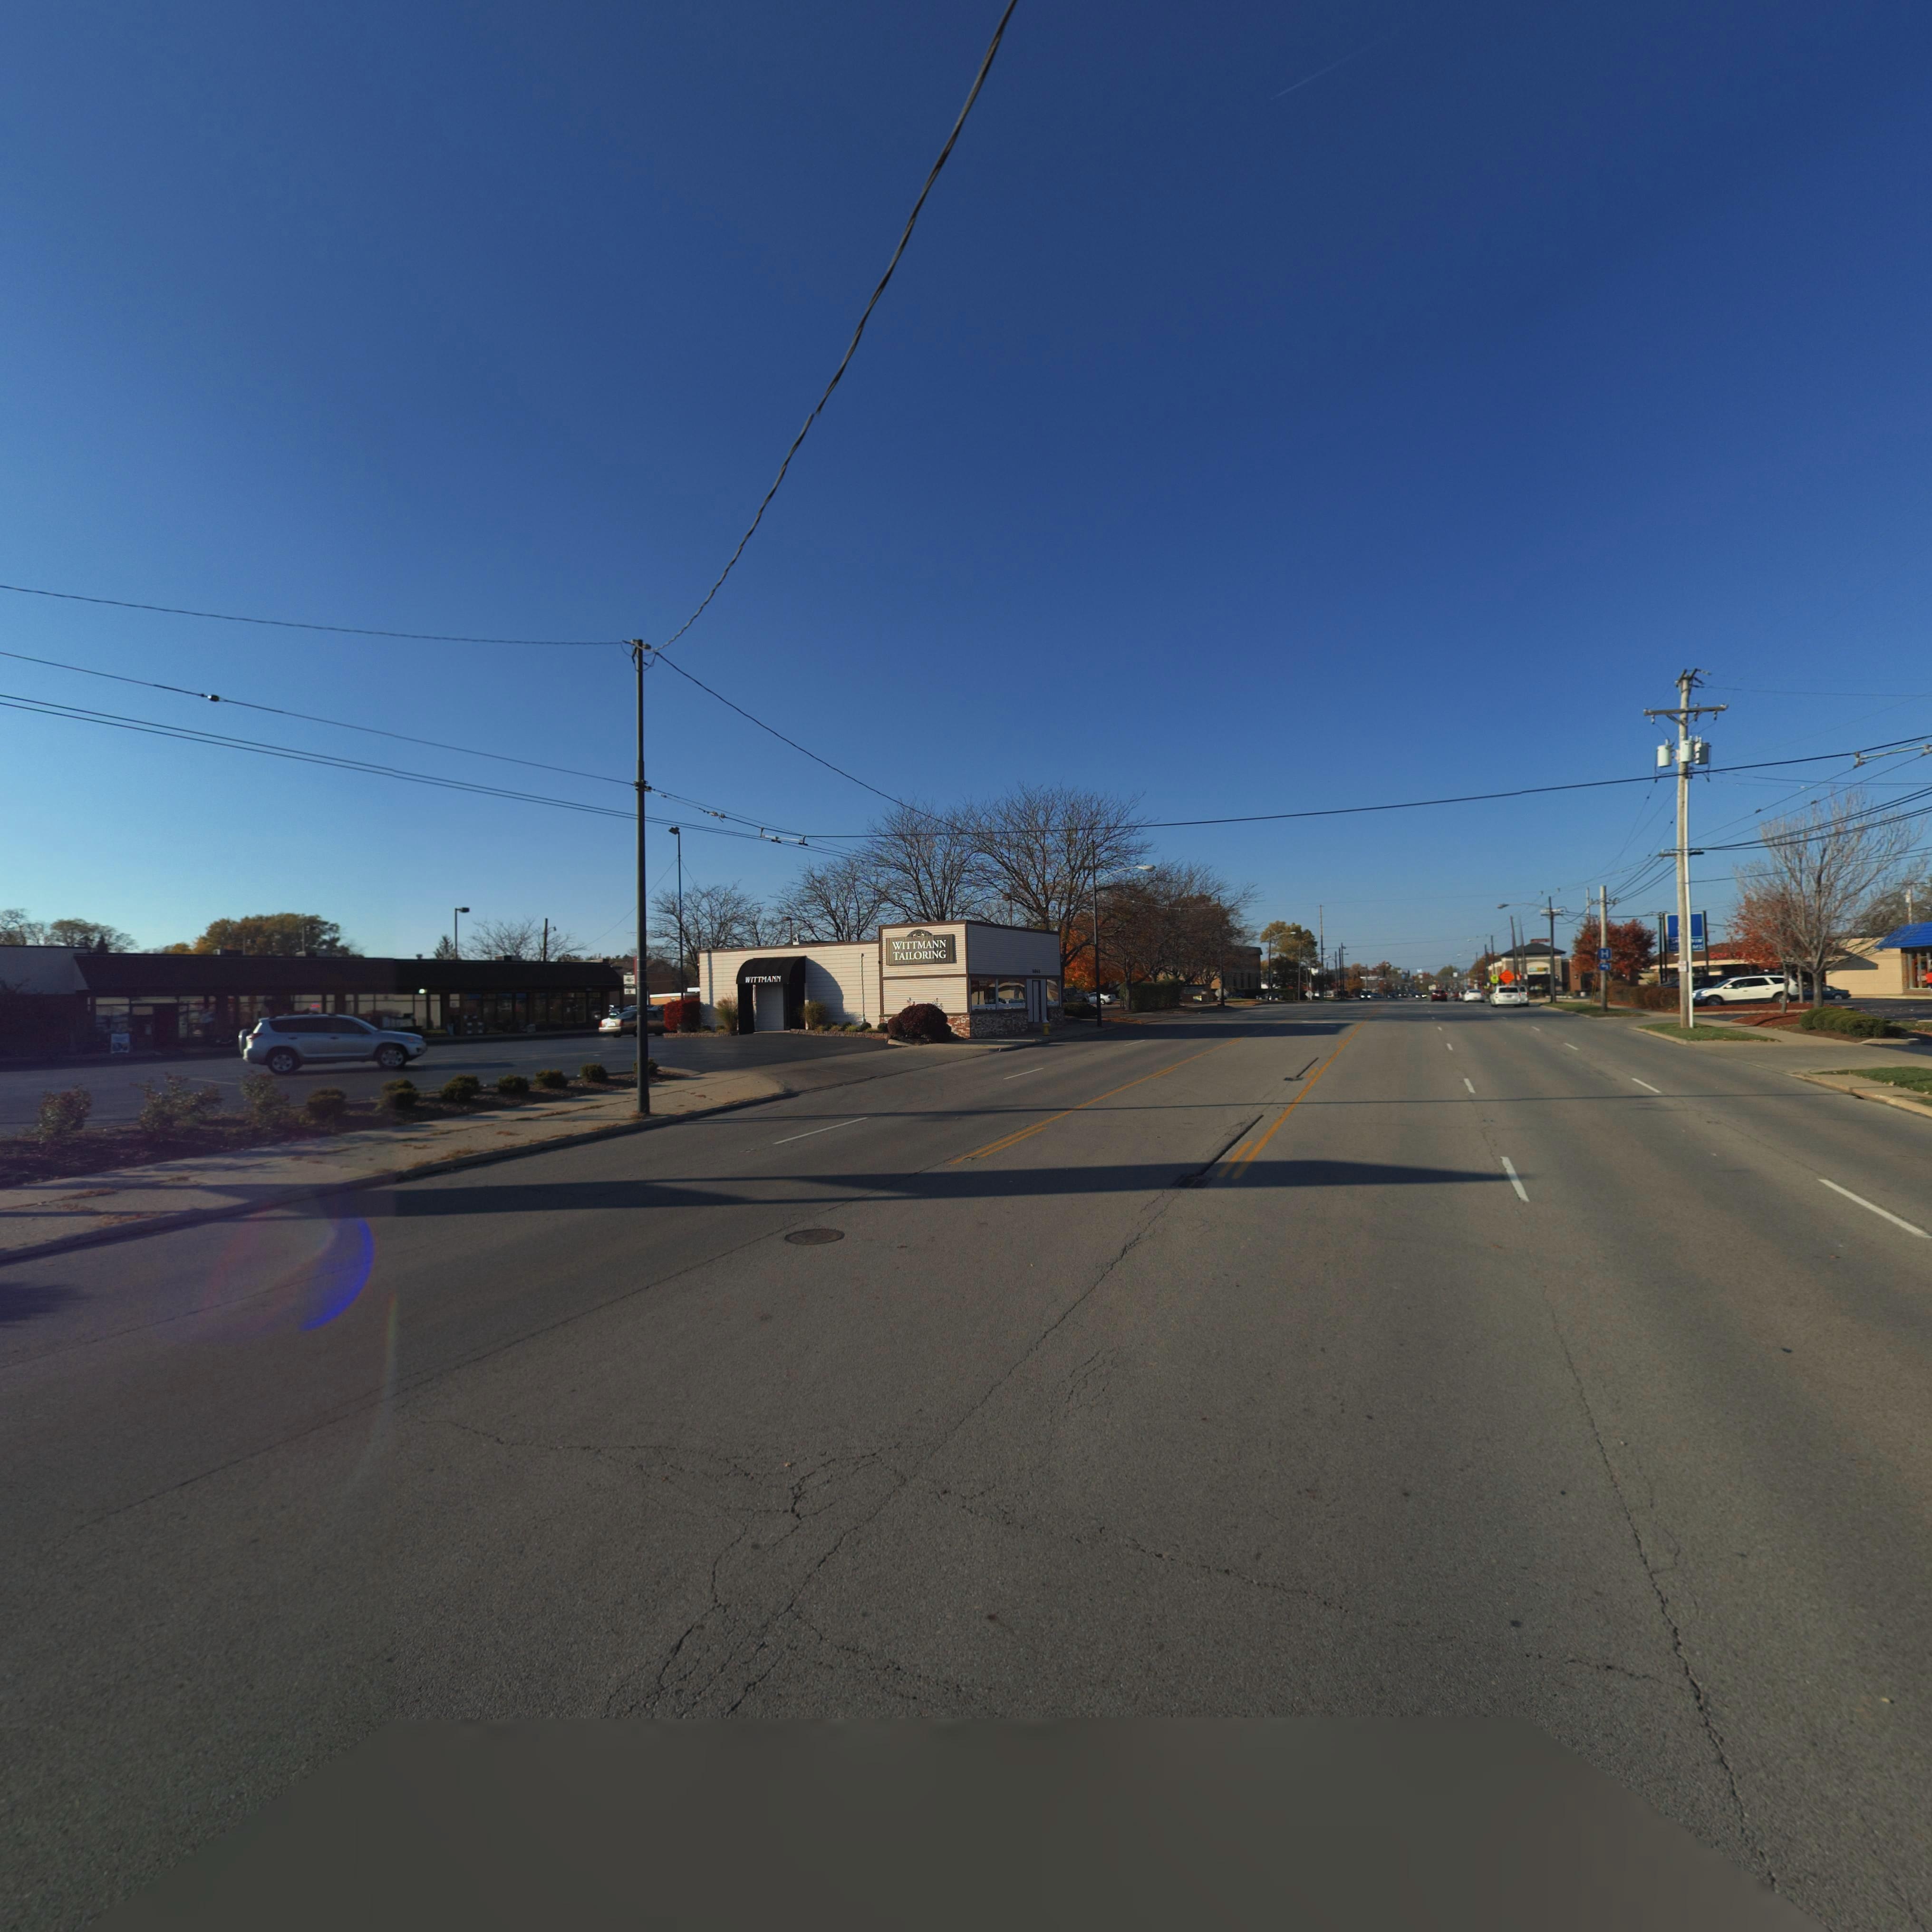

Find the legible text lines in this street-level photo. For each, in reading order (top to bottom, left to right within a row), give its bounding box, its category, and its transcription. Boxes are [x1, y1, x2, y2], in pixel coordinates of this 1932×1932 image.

[890, 938, 947, 951] BusinessName: WITTMANN
[892, 949, 947, 961] BusinessName: TAILORING
[744, 975, 782, 984] BusinessName: WITTMANN